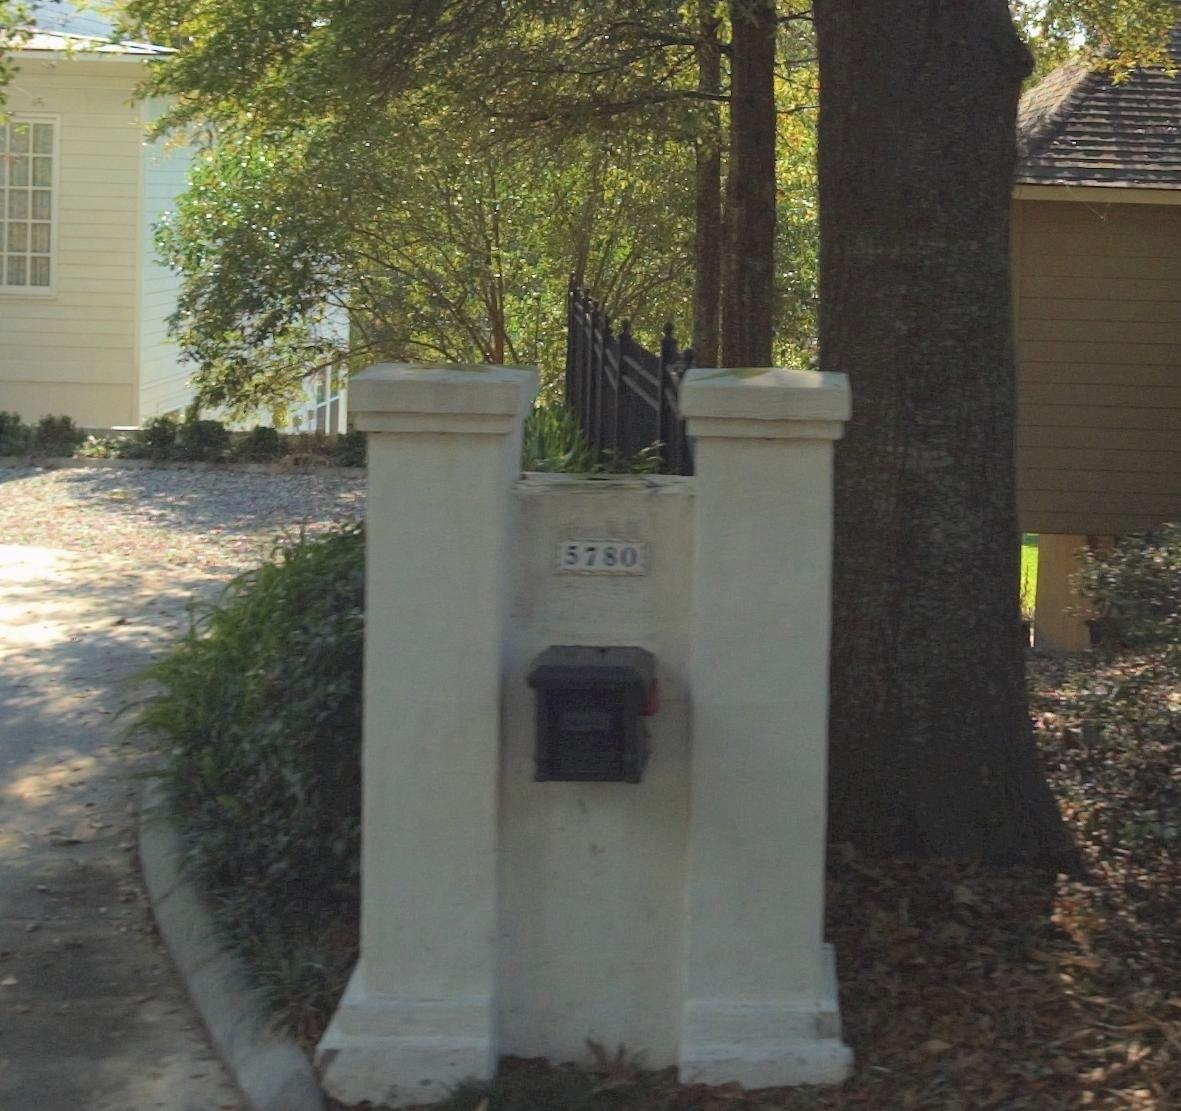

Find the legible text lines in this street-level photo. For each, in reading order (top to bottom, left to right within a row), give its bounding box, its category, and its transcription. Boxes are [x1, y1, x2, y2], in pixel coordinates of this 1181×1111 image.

[564, 545, 639, 568] StreetNumber: 5780